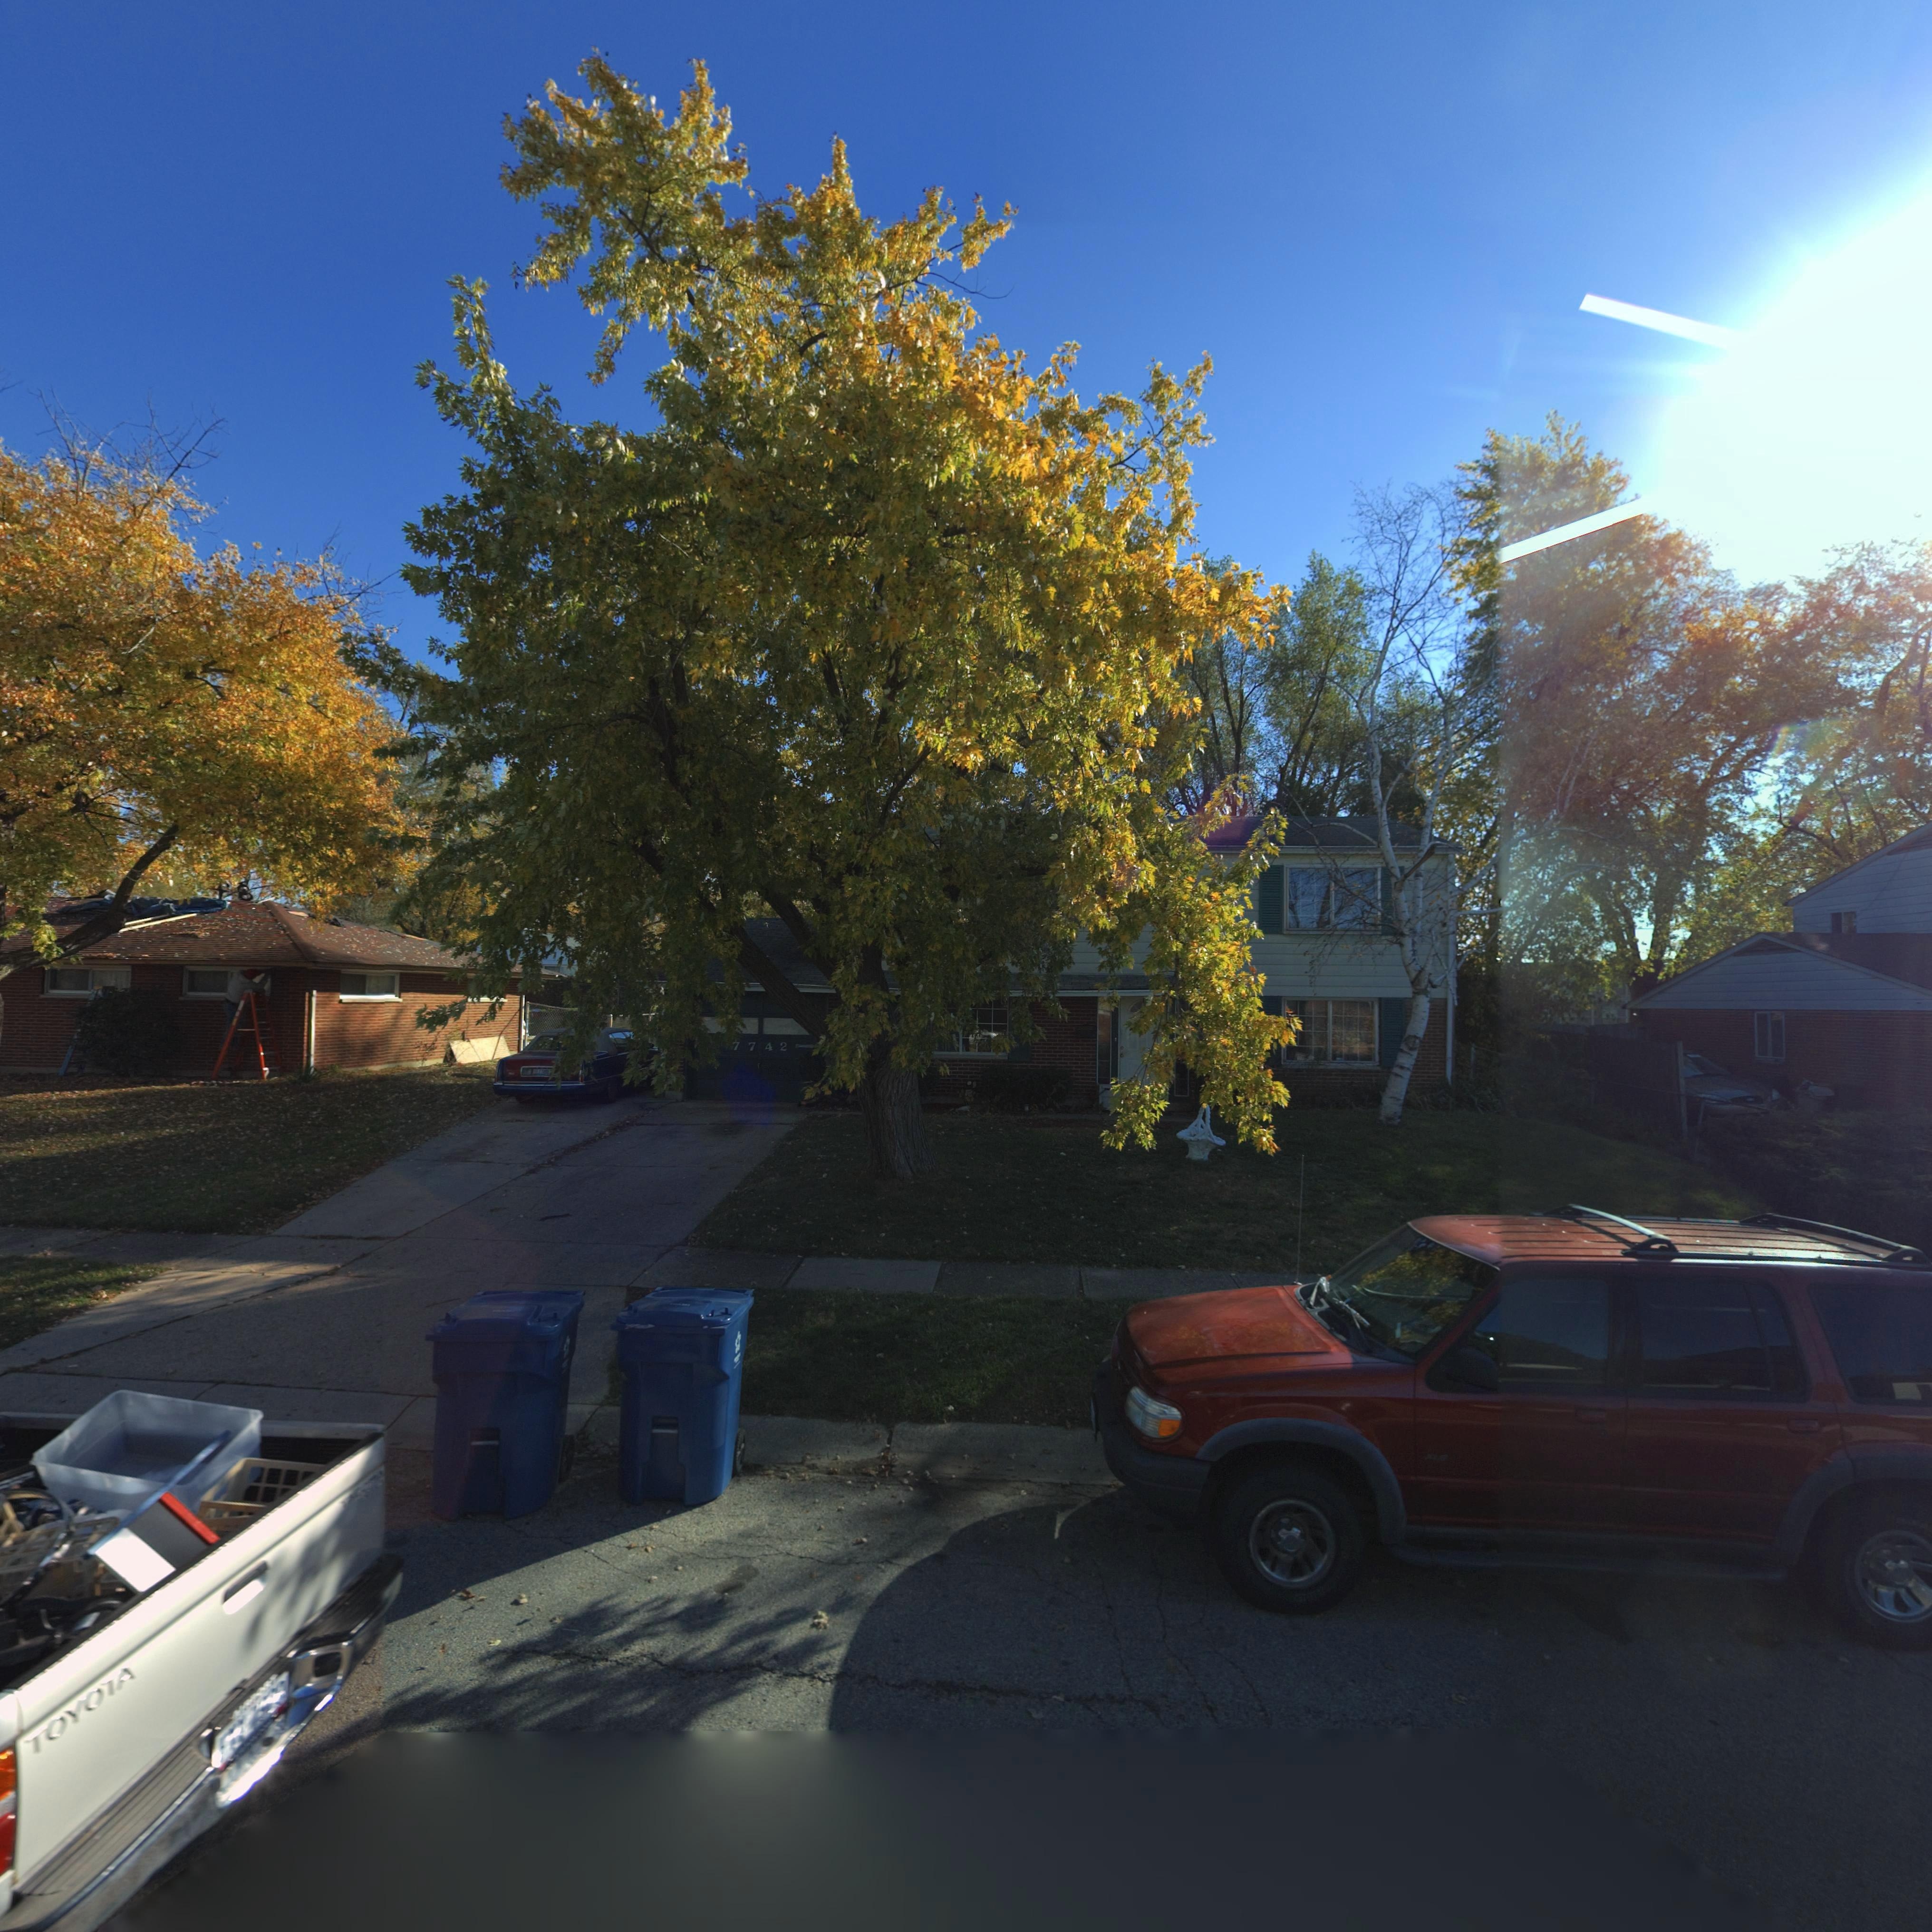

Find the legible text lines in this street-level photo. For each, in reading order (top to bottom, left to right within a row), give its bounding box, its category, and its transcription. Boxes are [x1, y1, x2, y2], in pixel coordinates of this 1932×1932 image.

[732, 1041, 788, 1052] StreetNumber: 7742